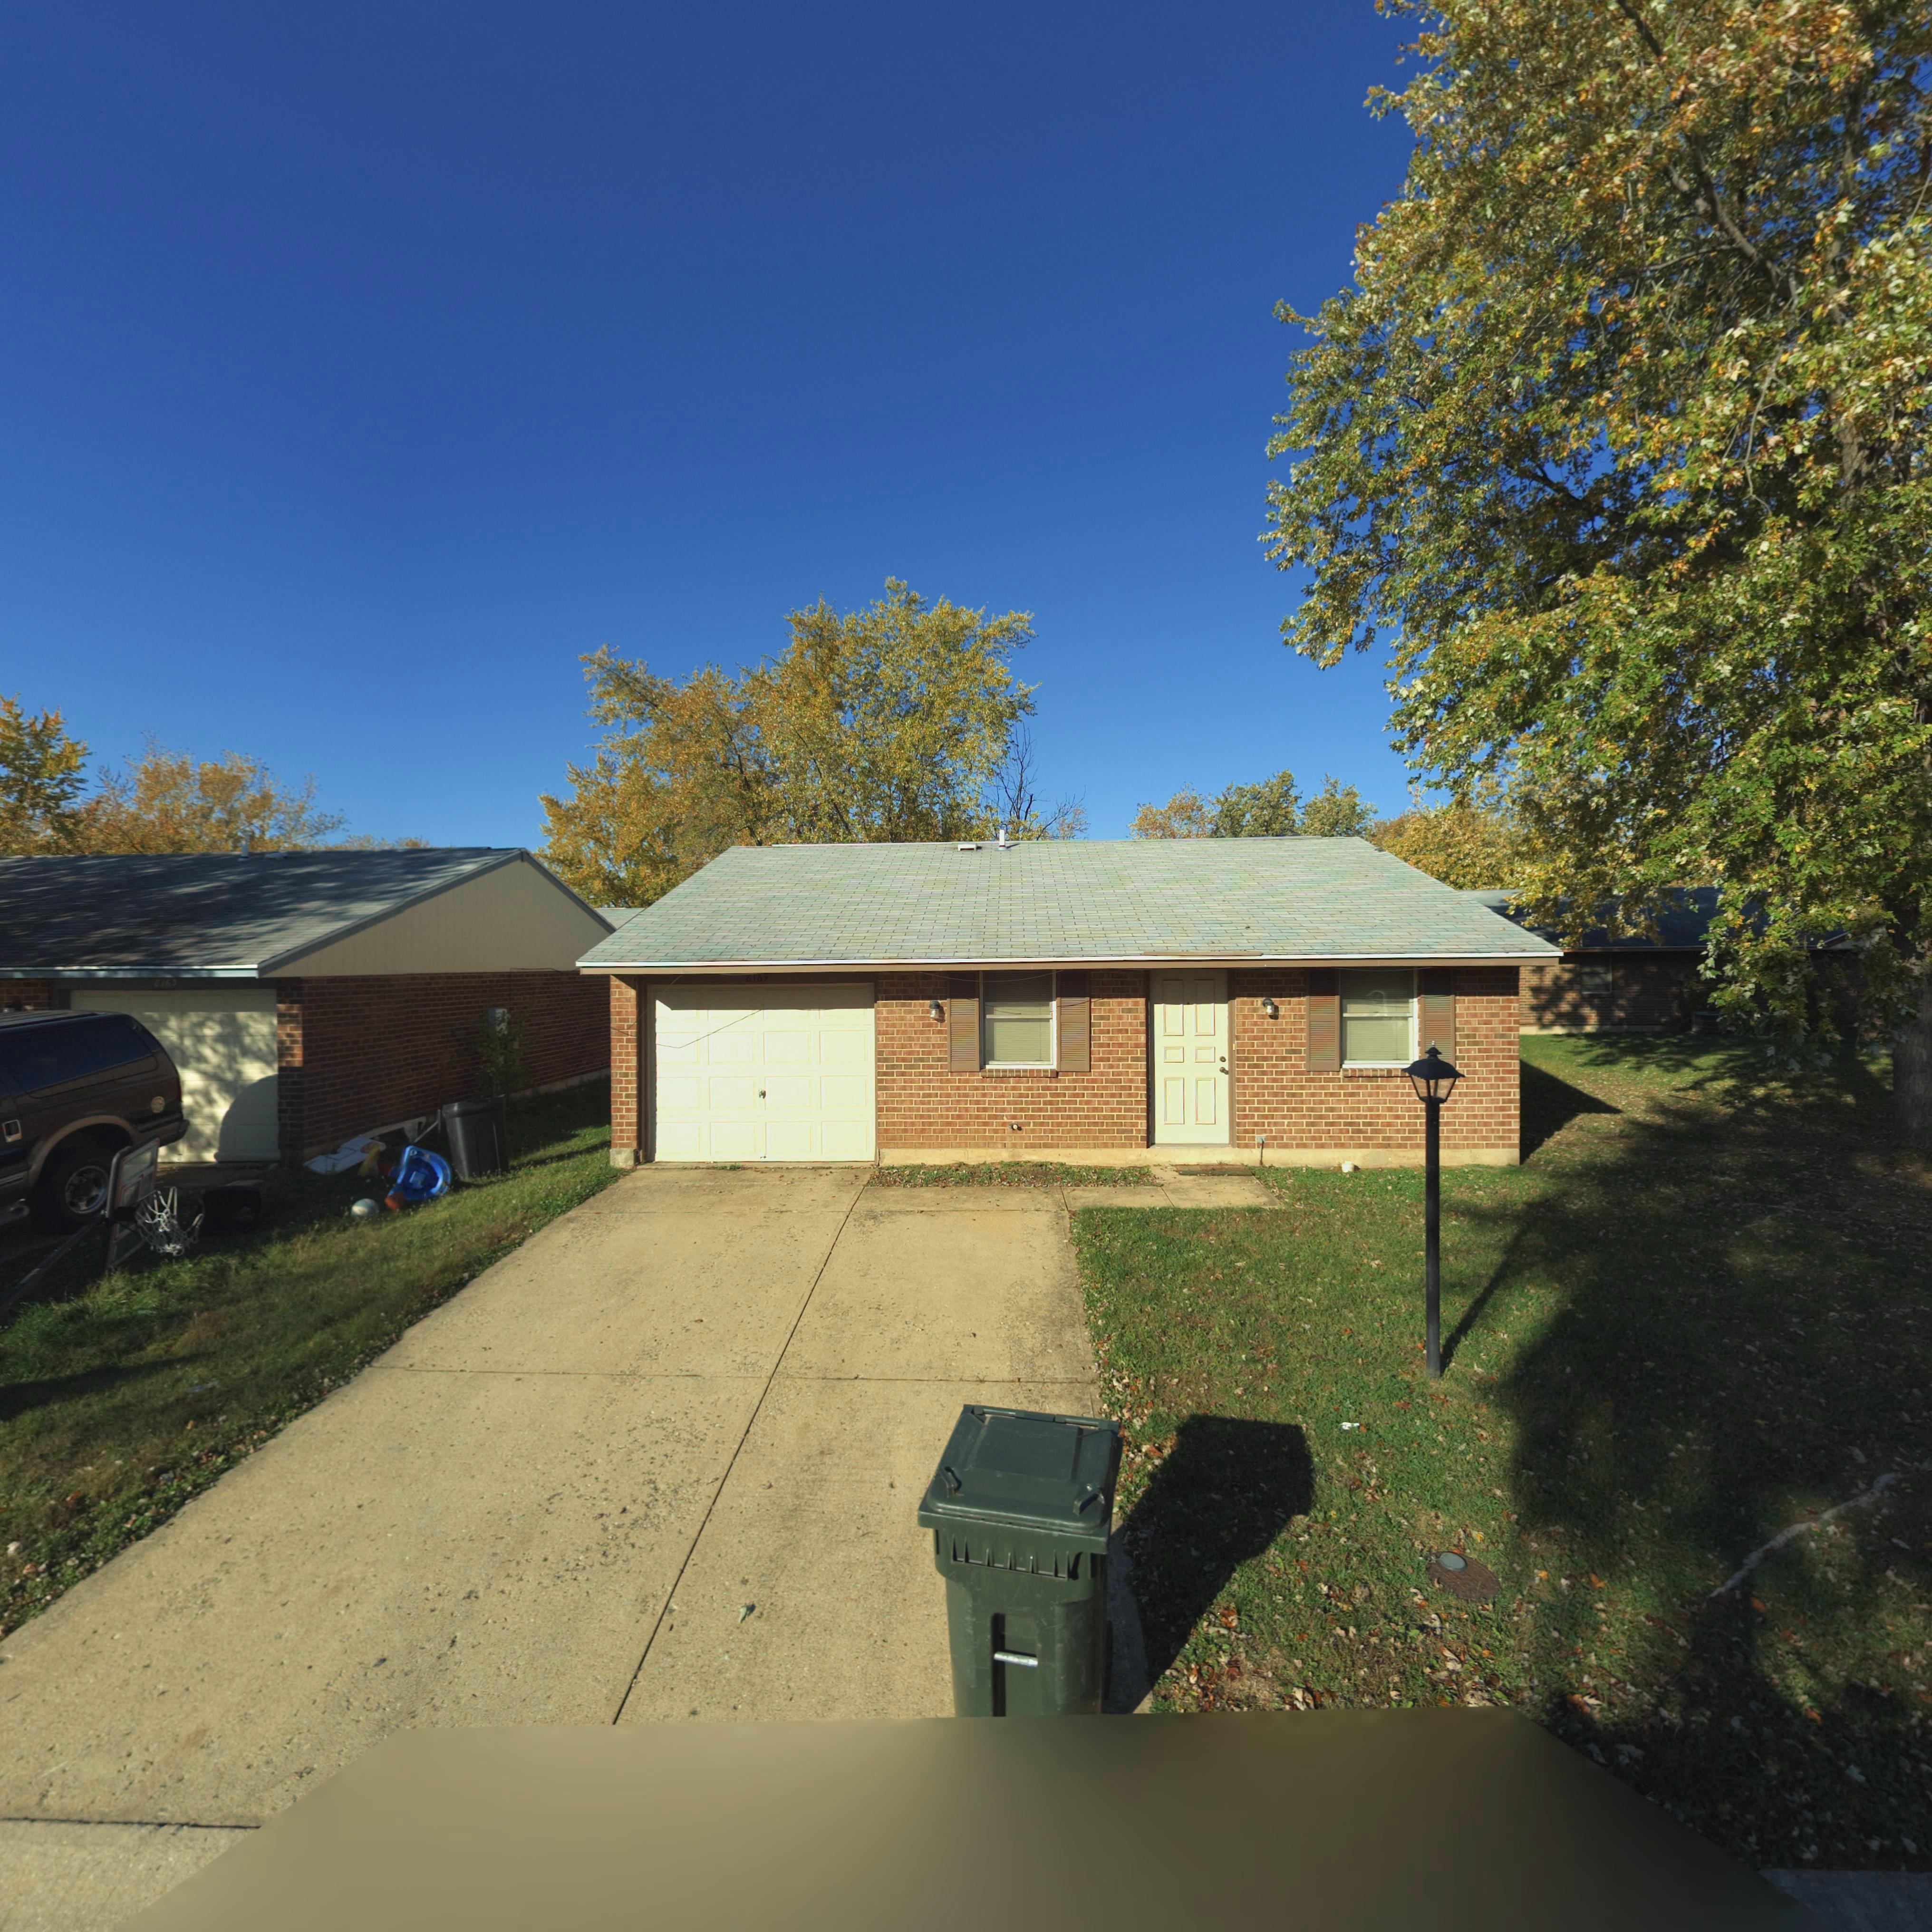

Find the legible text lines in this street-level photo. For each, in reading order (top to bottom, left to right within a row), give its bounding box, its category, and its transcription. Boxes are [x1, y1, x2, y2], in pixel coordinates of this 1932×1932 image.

[153, 977, 179, 989] StreetNumber: **6*
[745, 973, 770, 984] StreetNumber: 8169